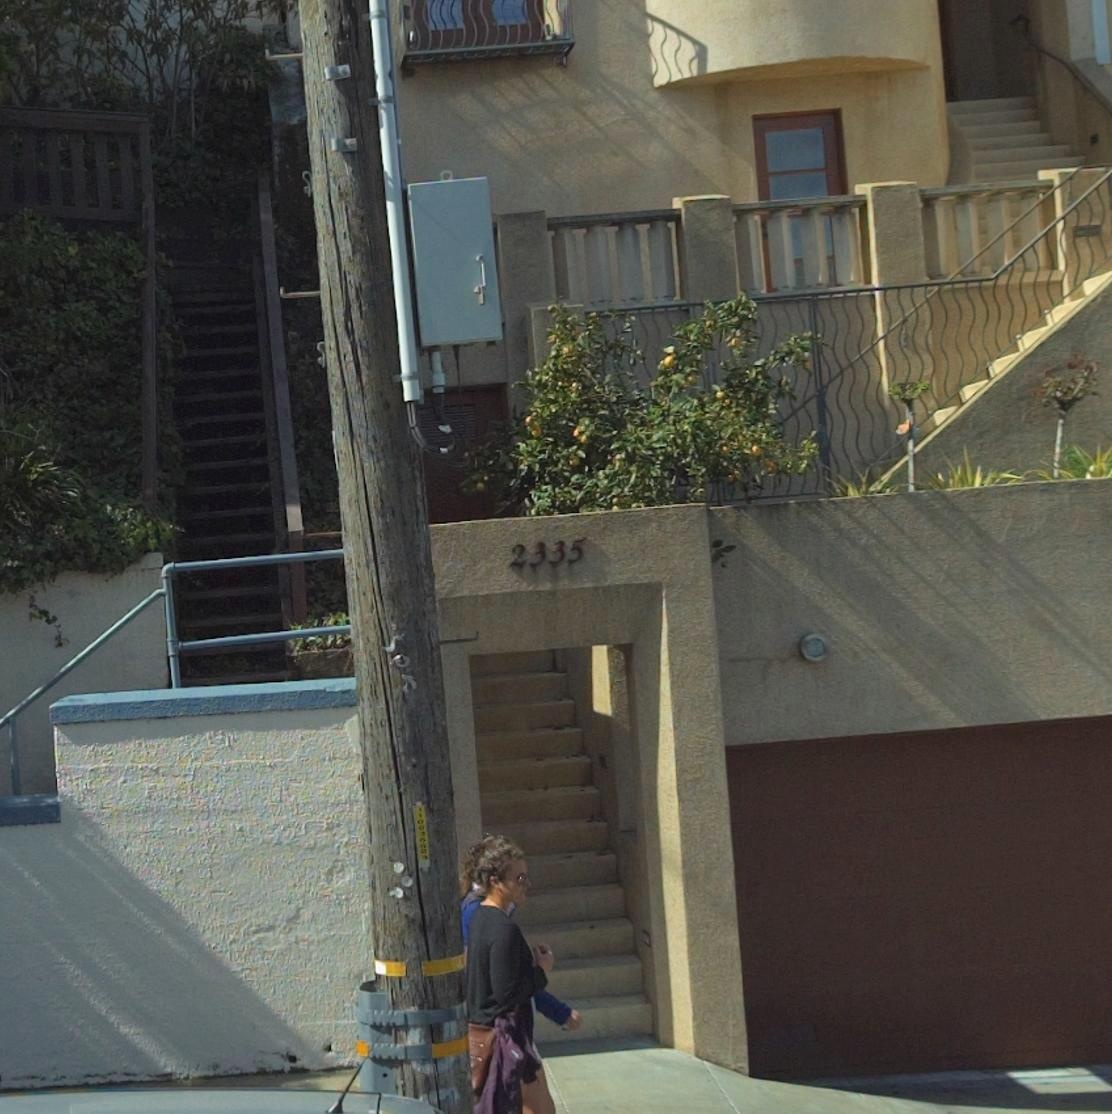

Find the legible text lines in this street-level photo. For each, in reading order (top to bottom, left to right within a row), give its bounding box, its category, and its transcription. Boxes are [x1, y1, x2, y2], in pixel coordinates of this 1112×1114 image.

[506, 535, 587, 569] StreetNumber: 2335
[376, 630, 420, 697] None: *0*
[412, 804, 430, 861] None: 11003****